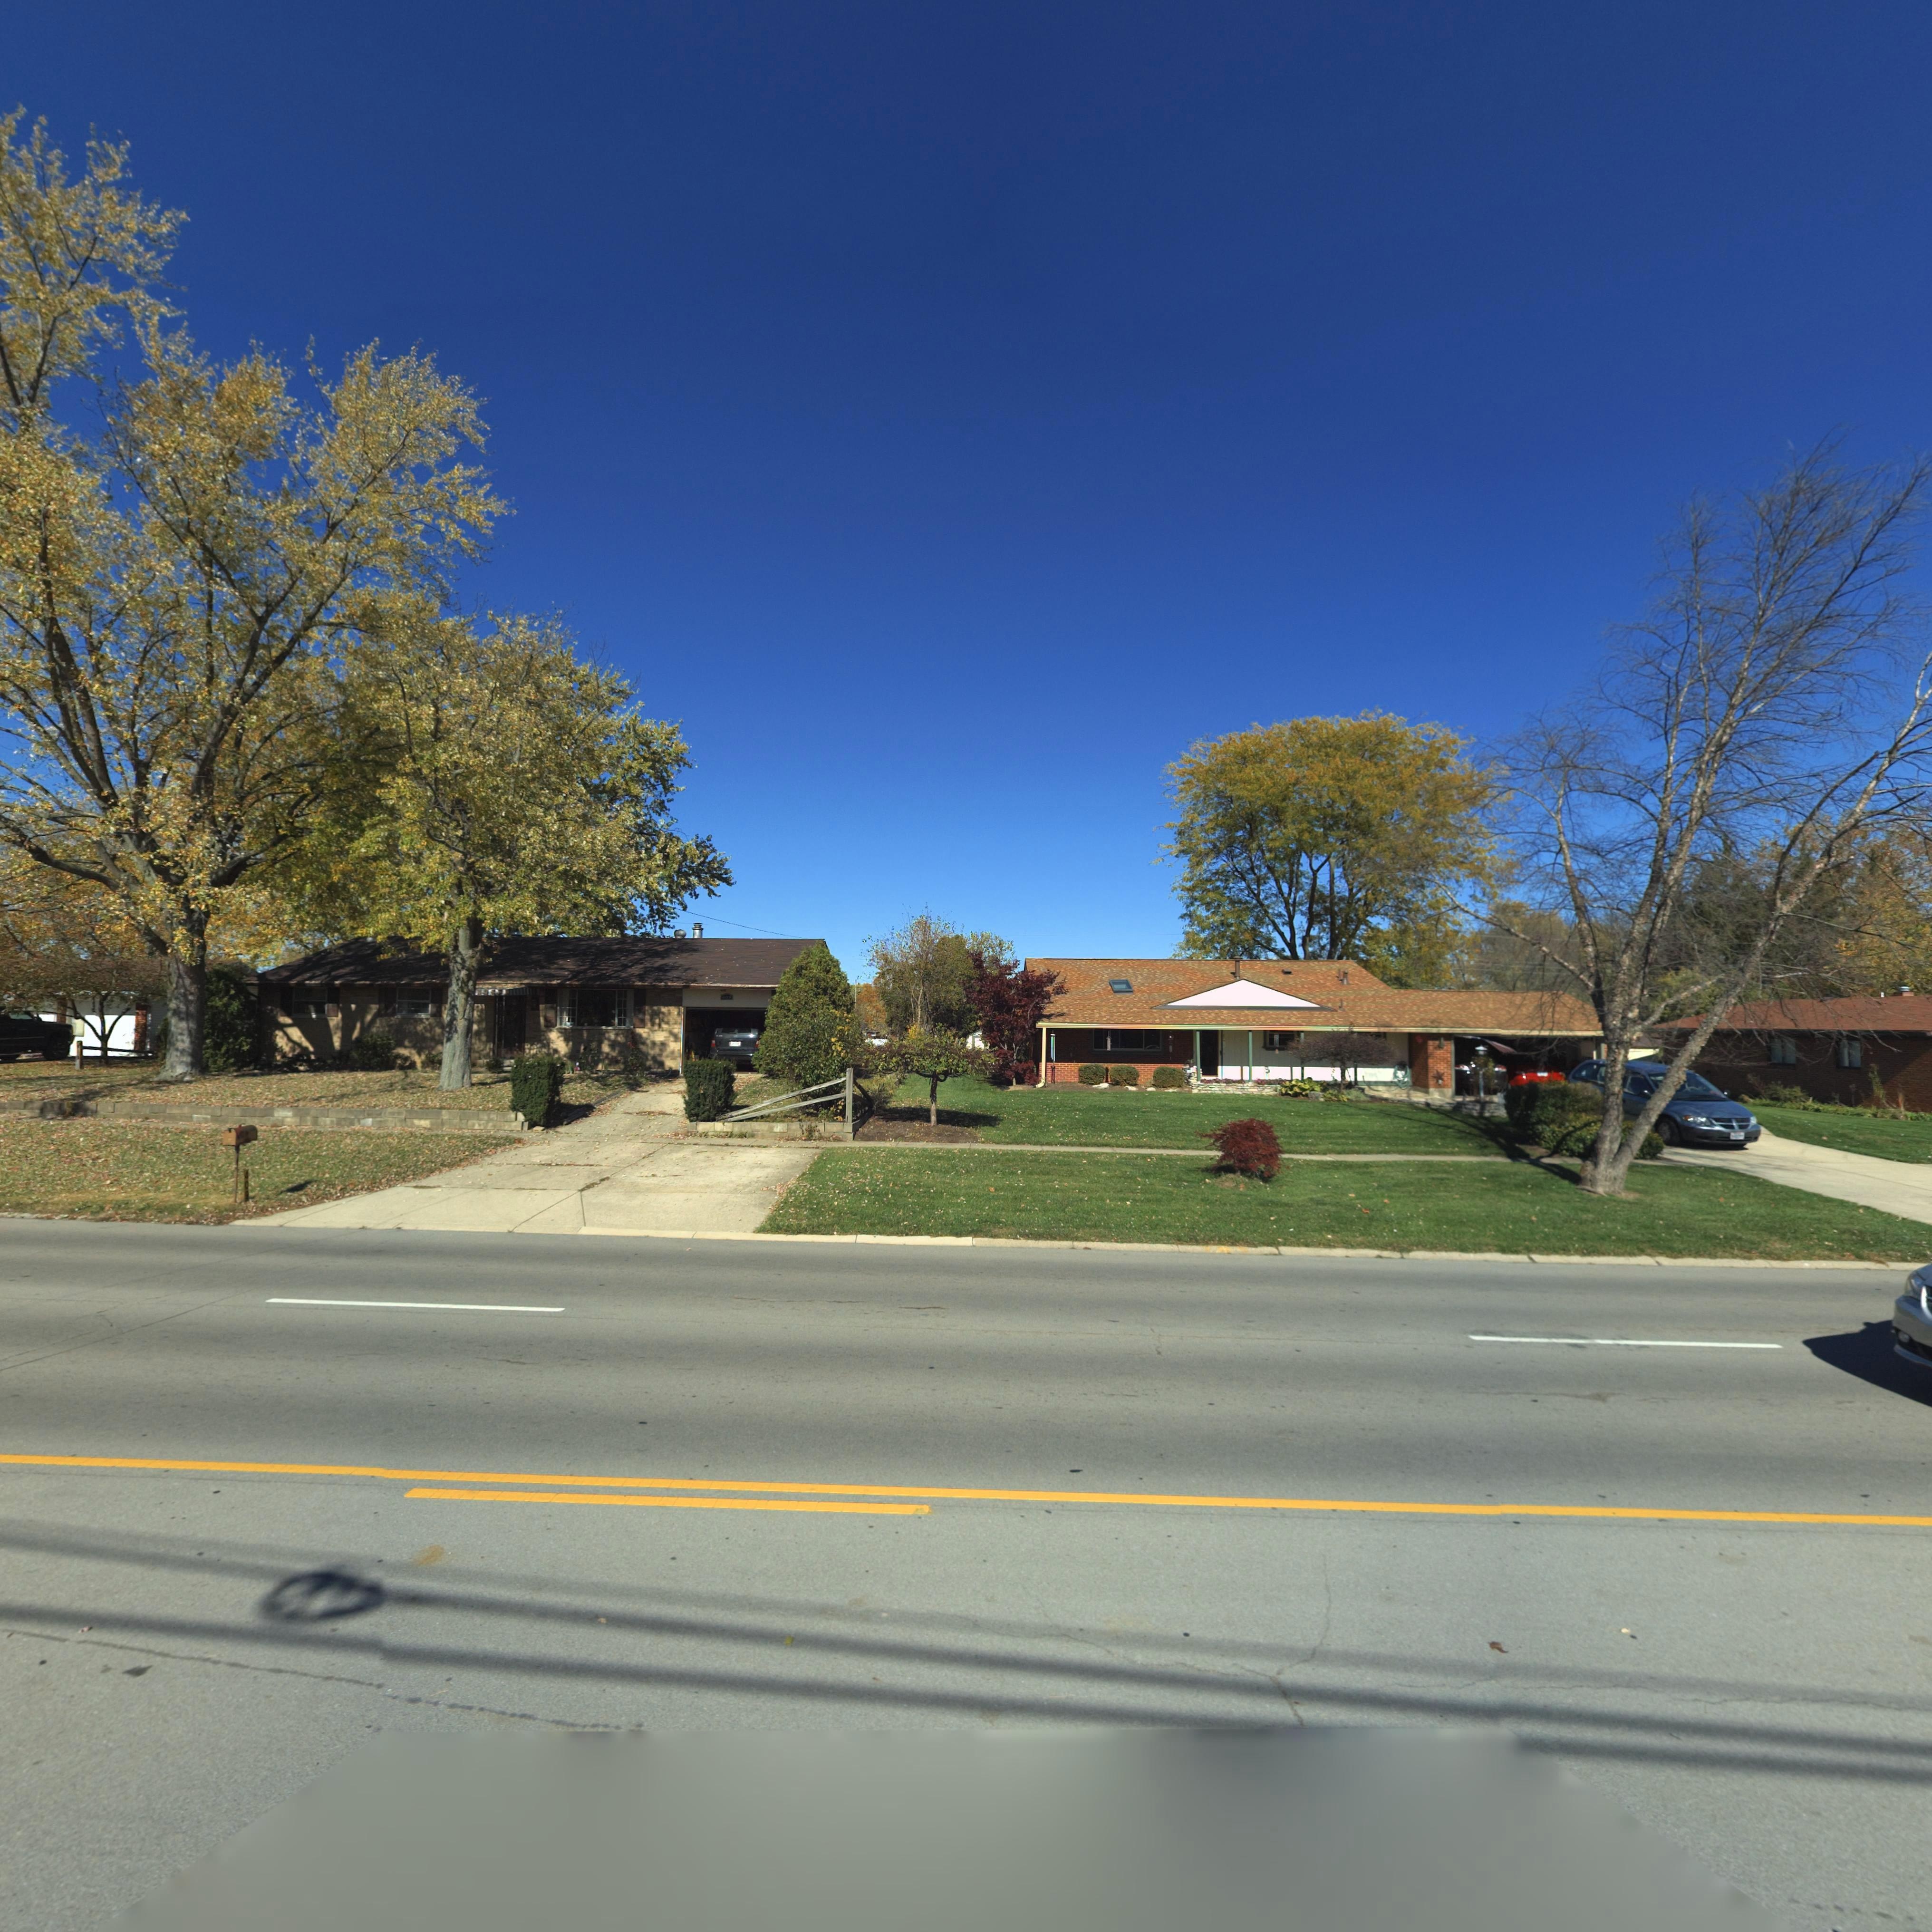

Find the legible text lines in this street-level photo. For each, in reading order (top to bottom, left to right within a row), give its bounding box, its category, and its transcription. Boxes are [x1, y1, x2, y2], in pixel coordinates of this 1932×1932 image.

[244, 1170, 250, 1190] StreetNumber: 40